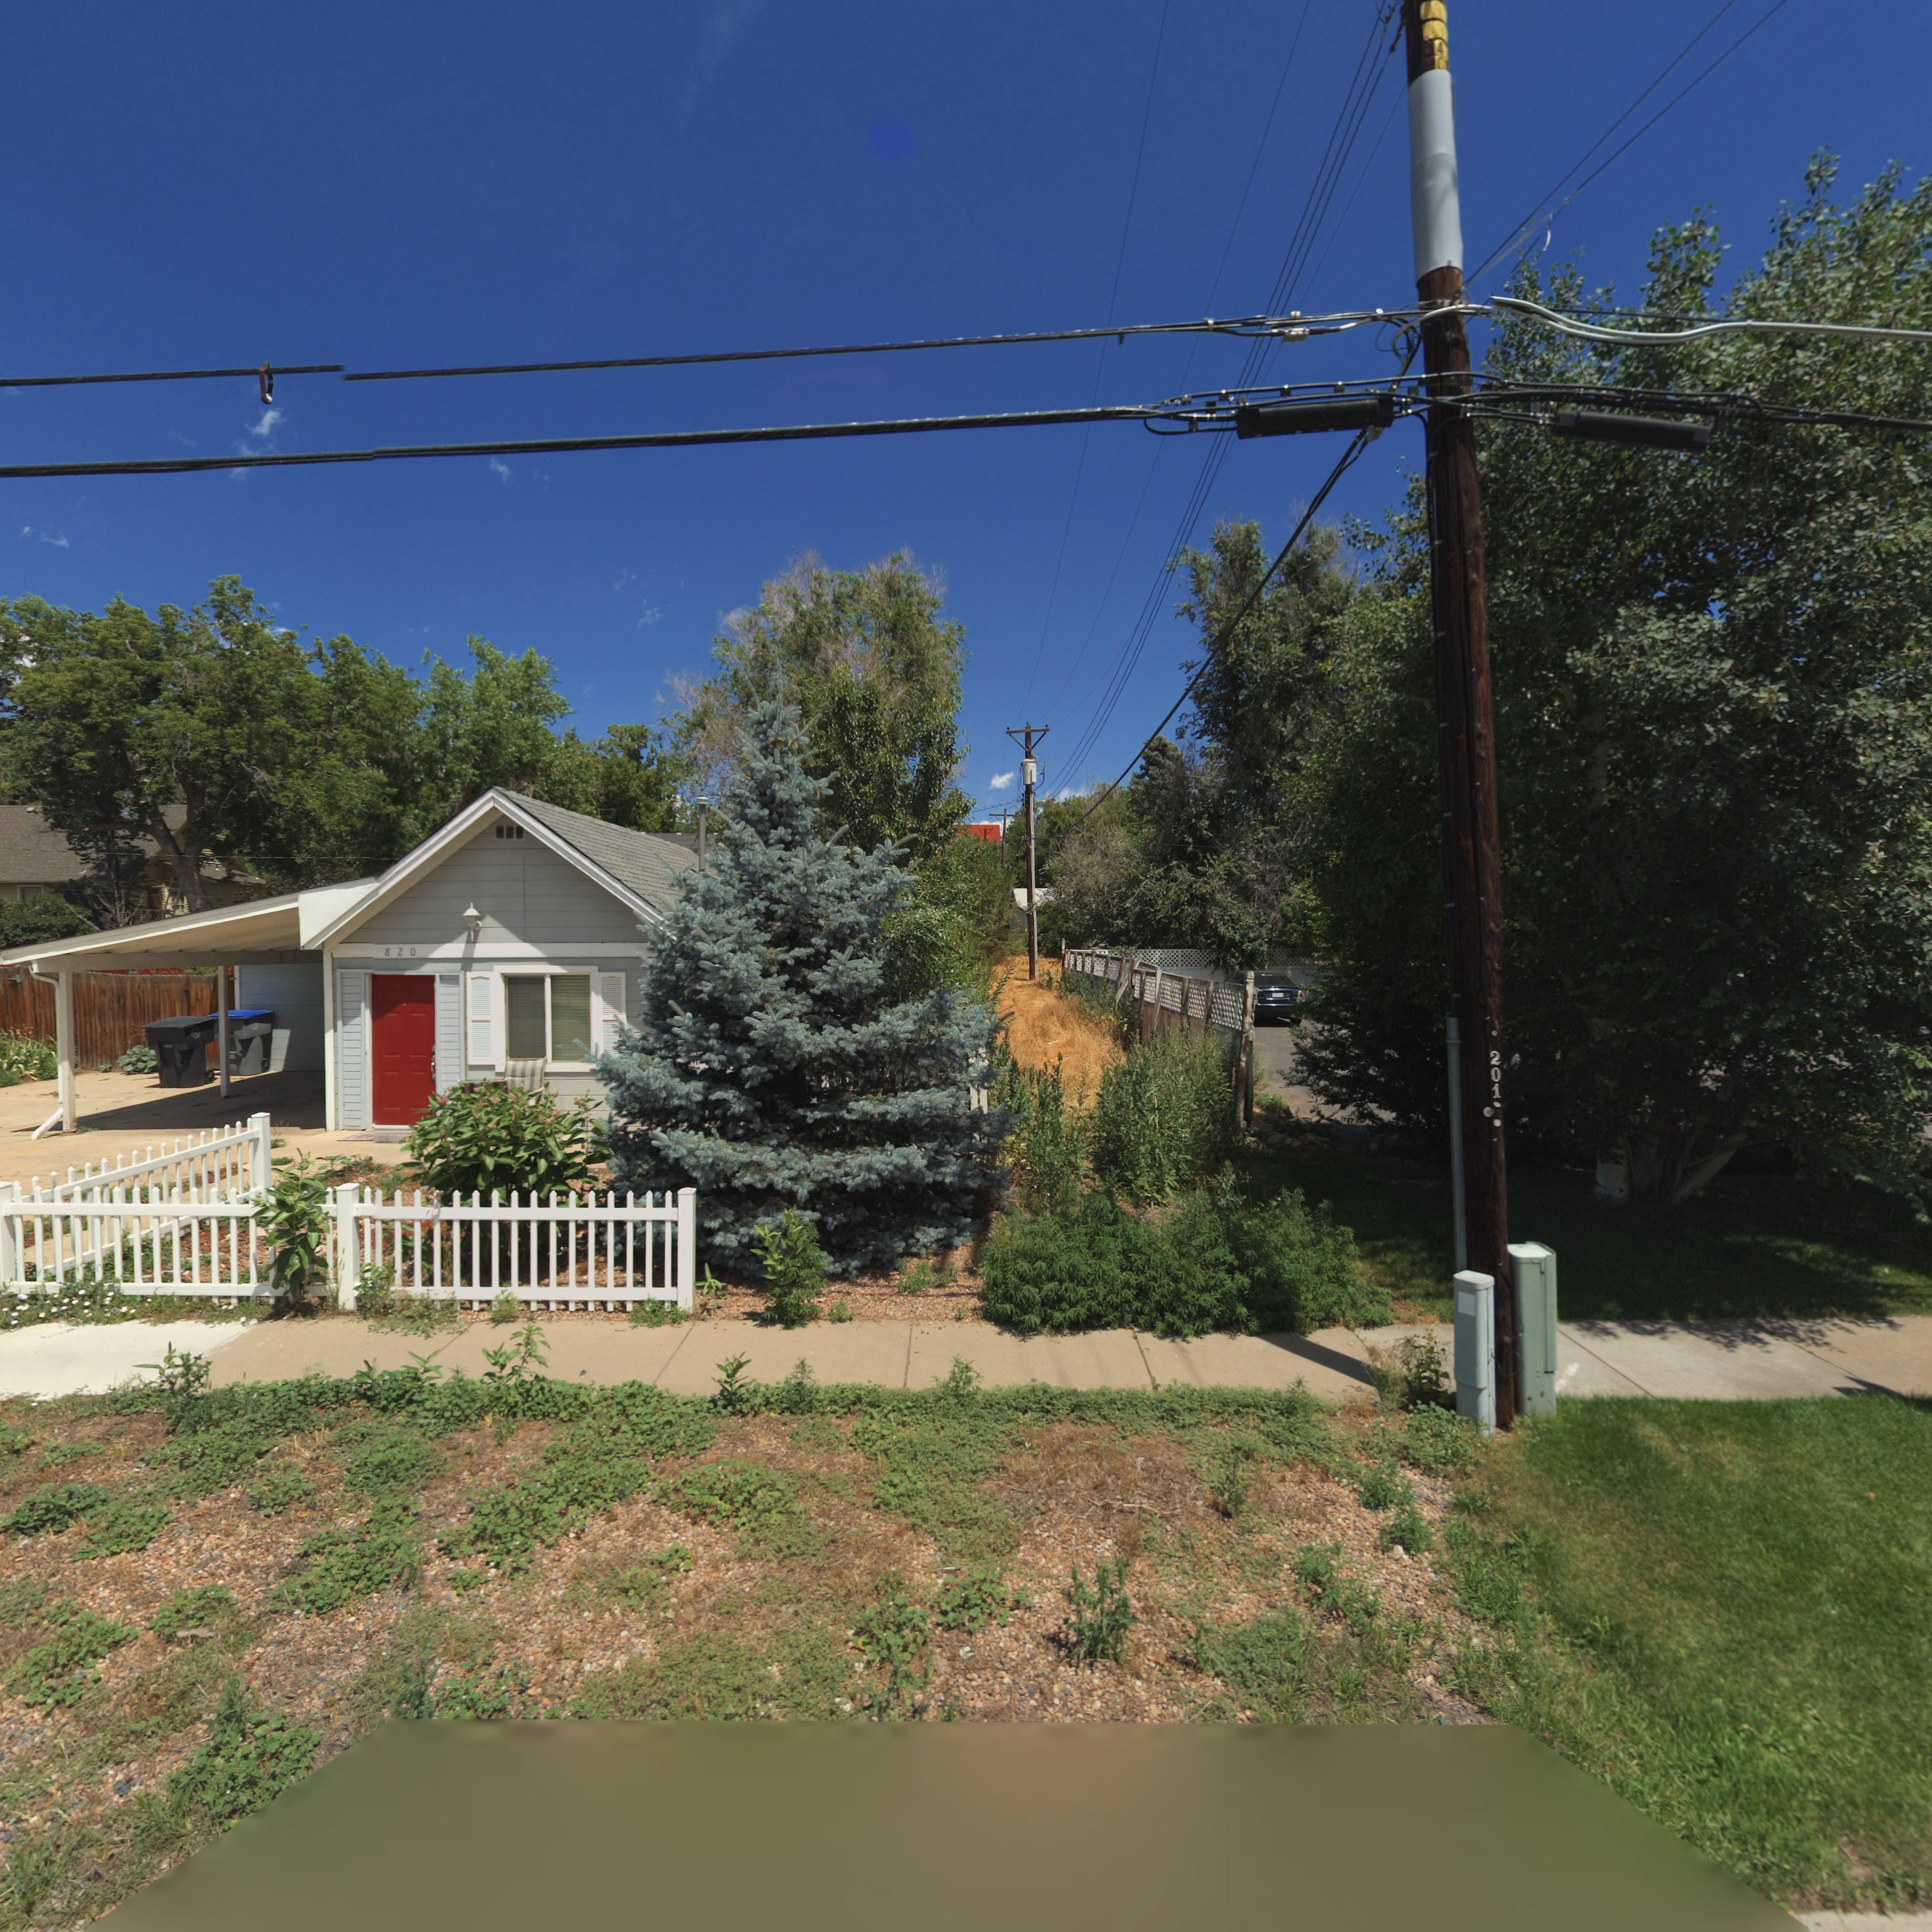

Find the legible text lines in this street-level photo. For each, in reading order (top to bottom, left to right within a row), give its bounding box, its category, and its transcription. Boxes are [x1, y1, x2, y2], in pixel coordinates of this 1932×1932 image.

[384, 946, 416, 956] StreetNumber: 820